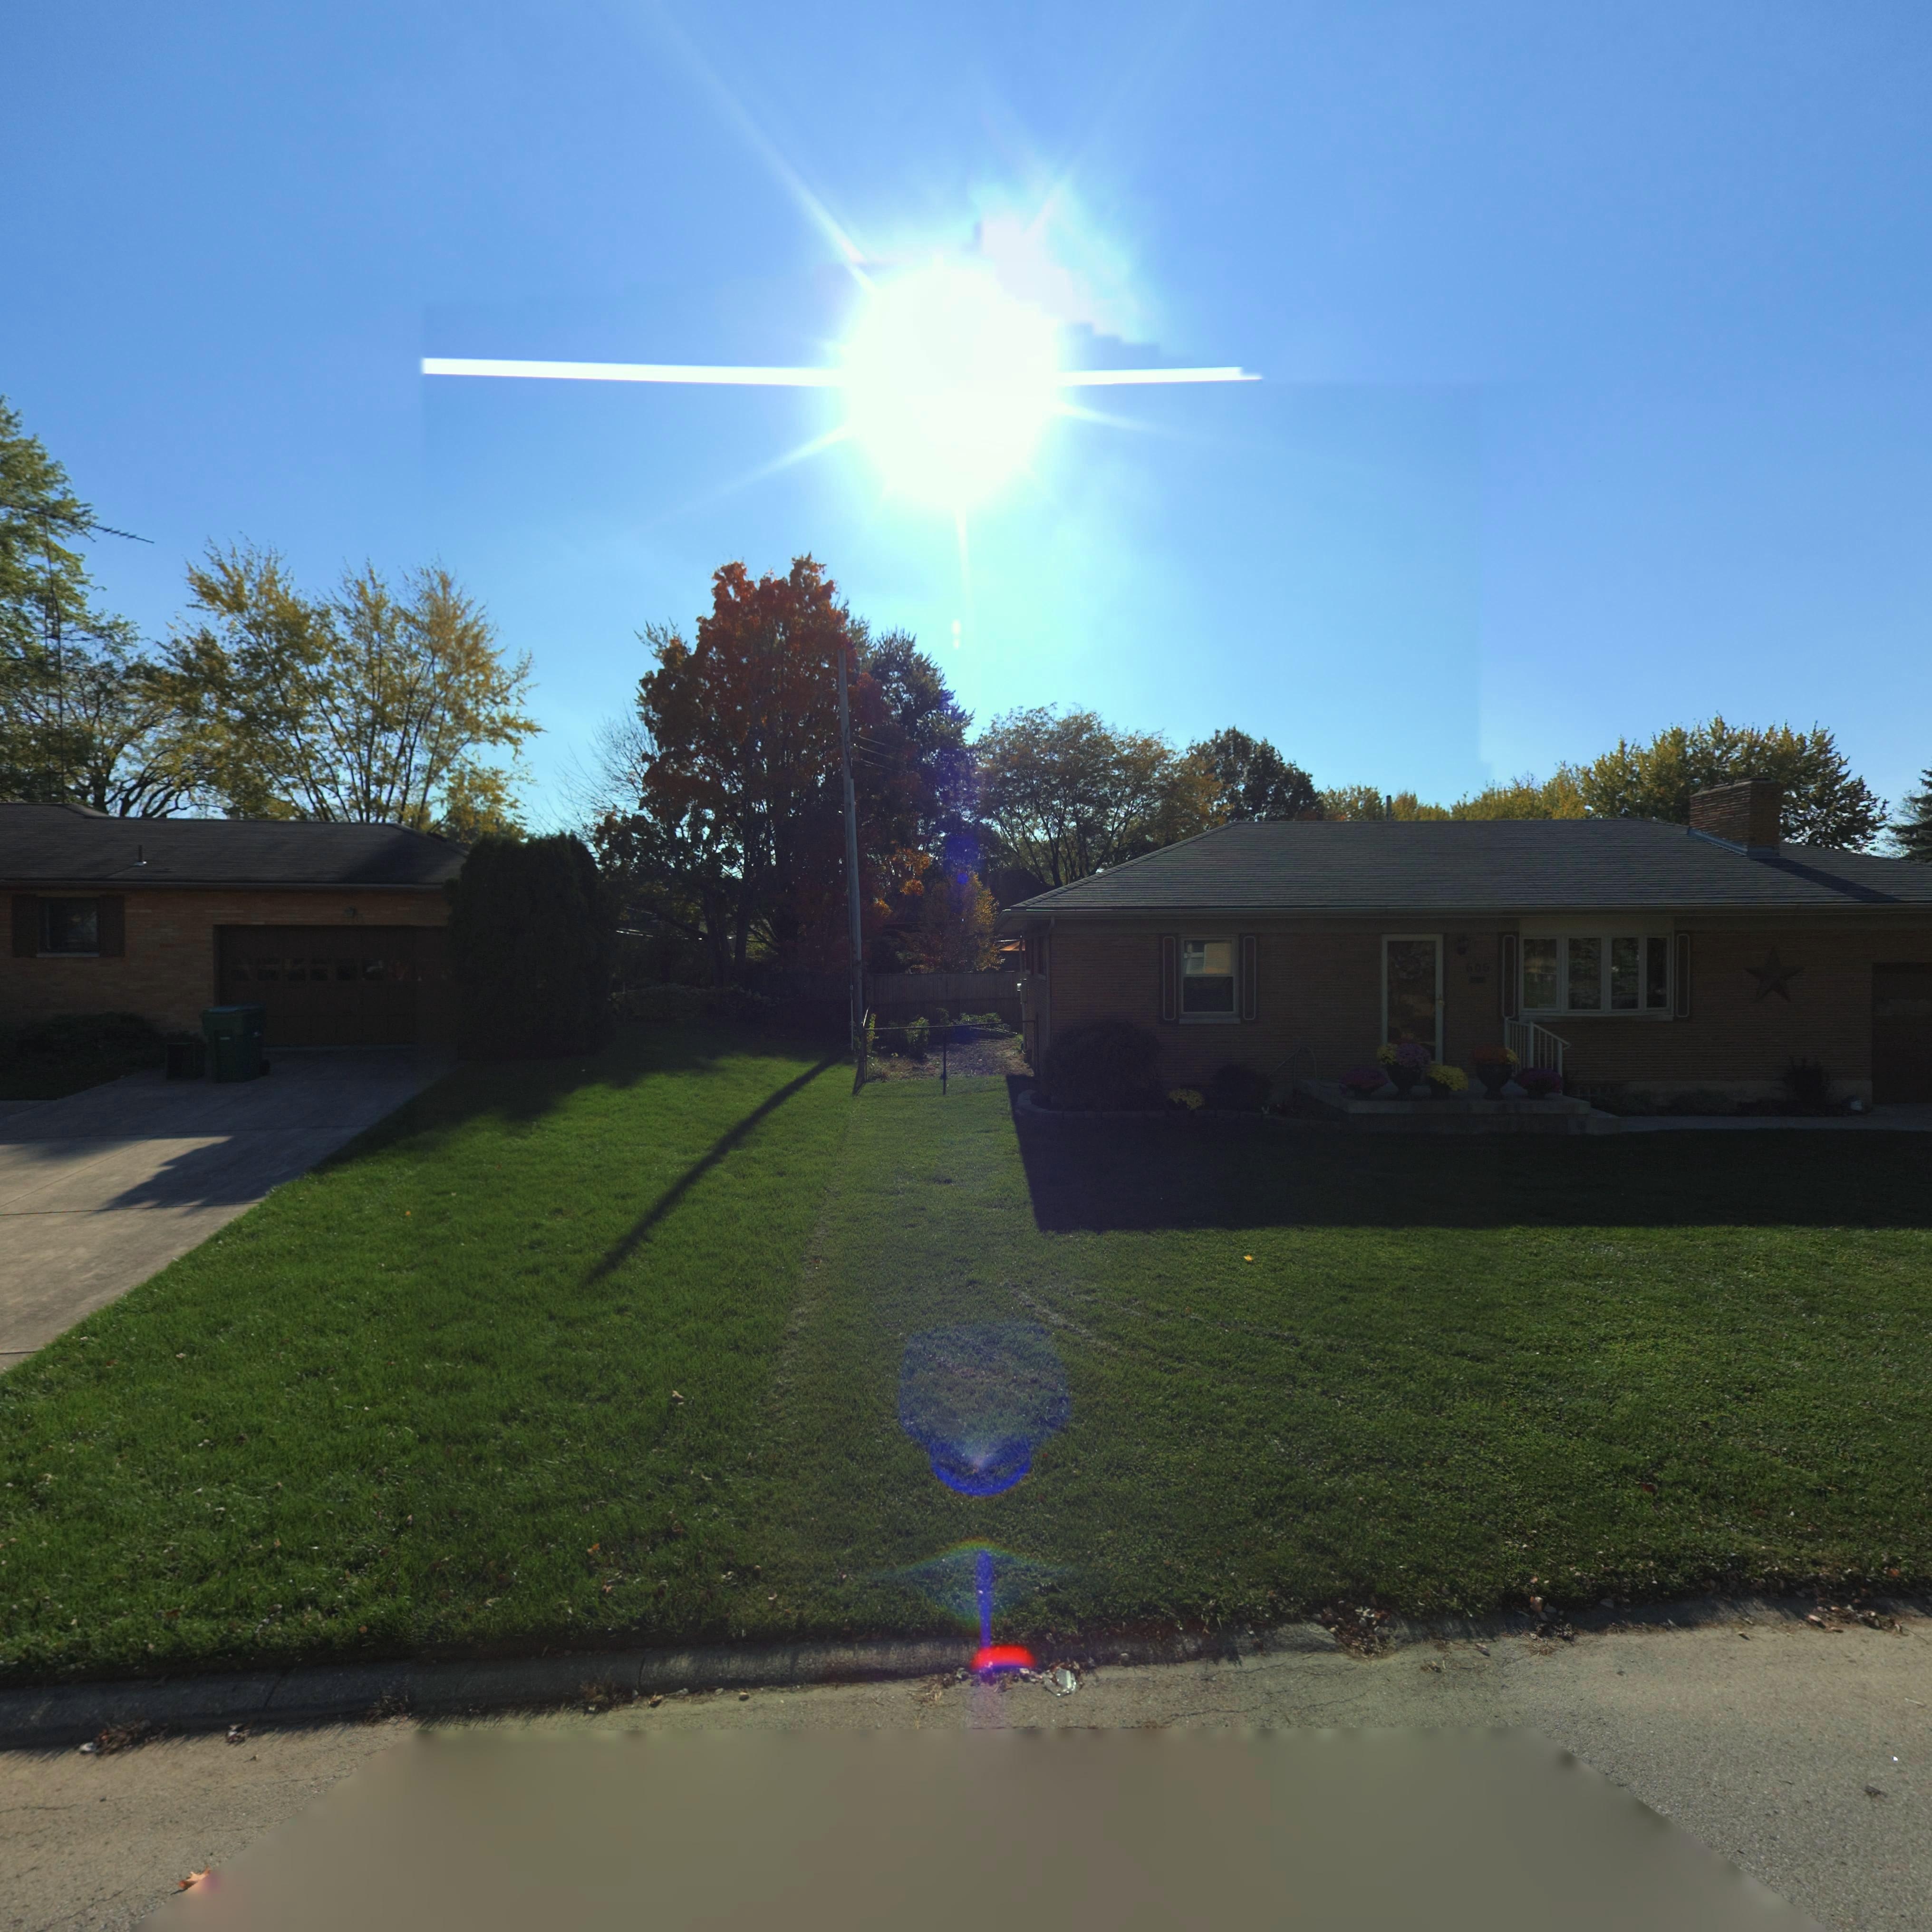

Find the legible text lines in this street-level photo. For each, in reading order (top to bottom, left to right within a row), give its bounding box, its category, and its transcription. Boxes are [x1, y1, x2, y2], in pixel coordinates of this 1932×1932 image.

[341, 914, 363, 924] StreetNumber: *10
[1465, 961, 1490, 973] StreetNumber: 606